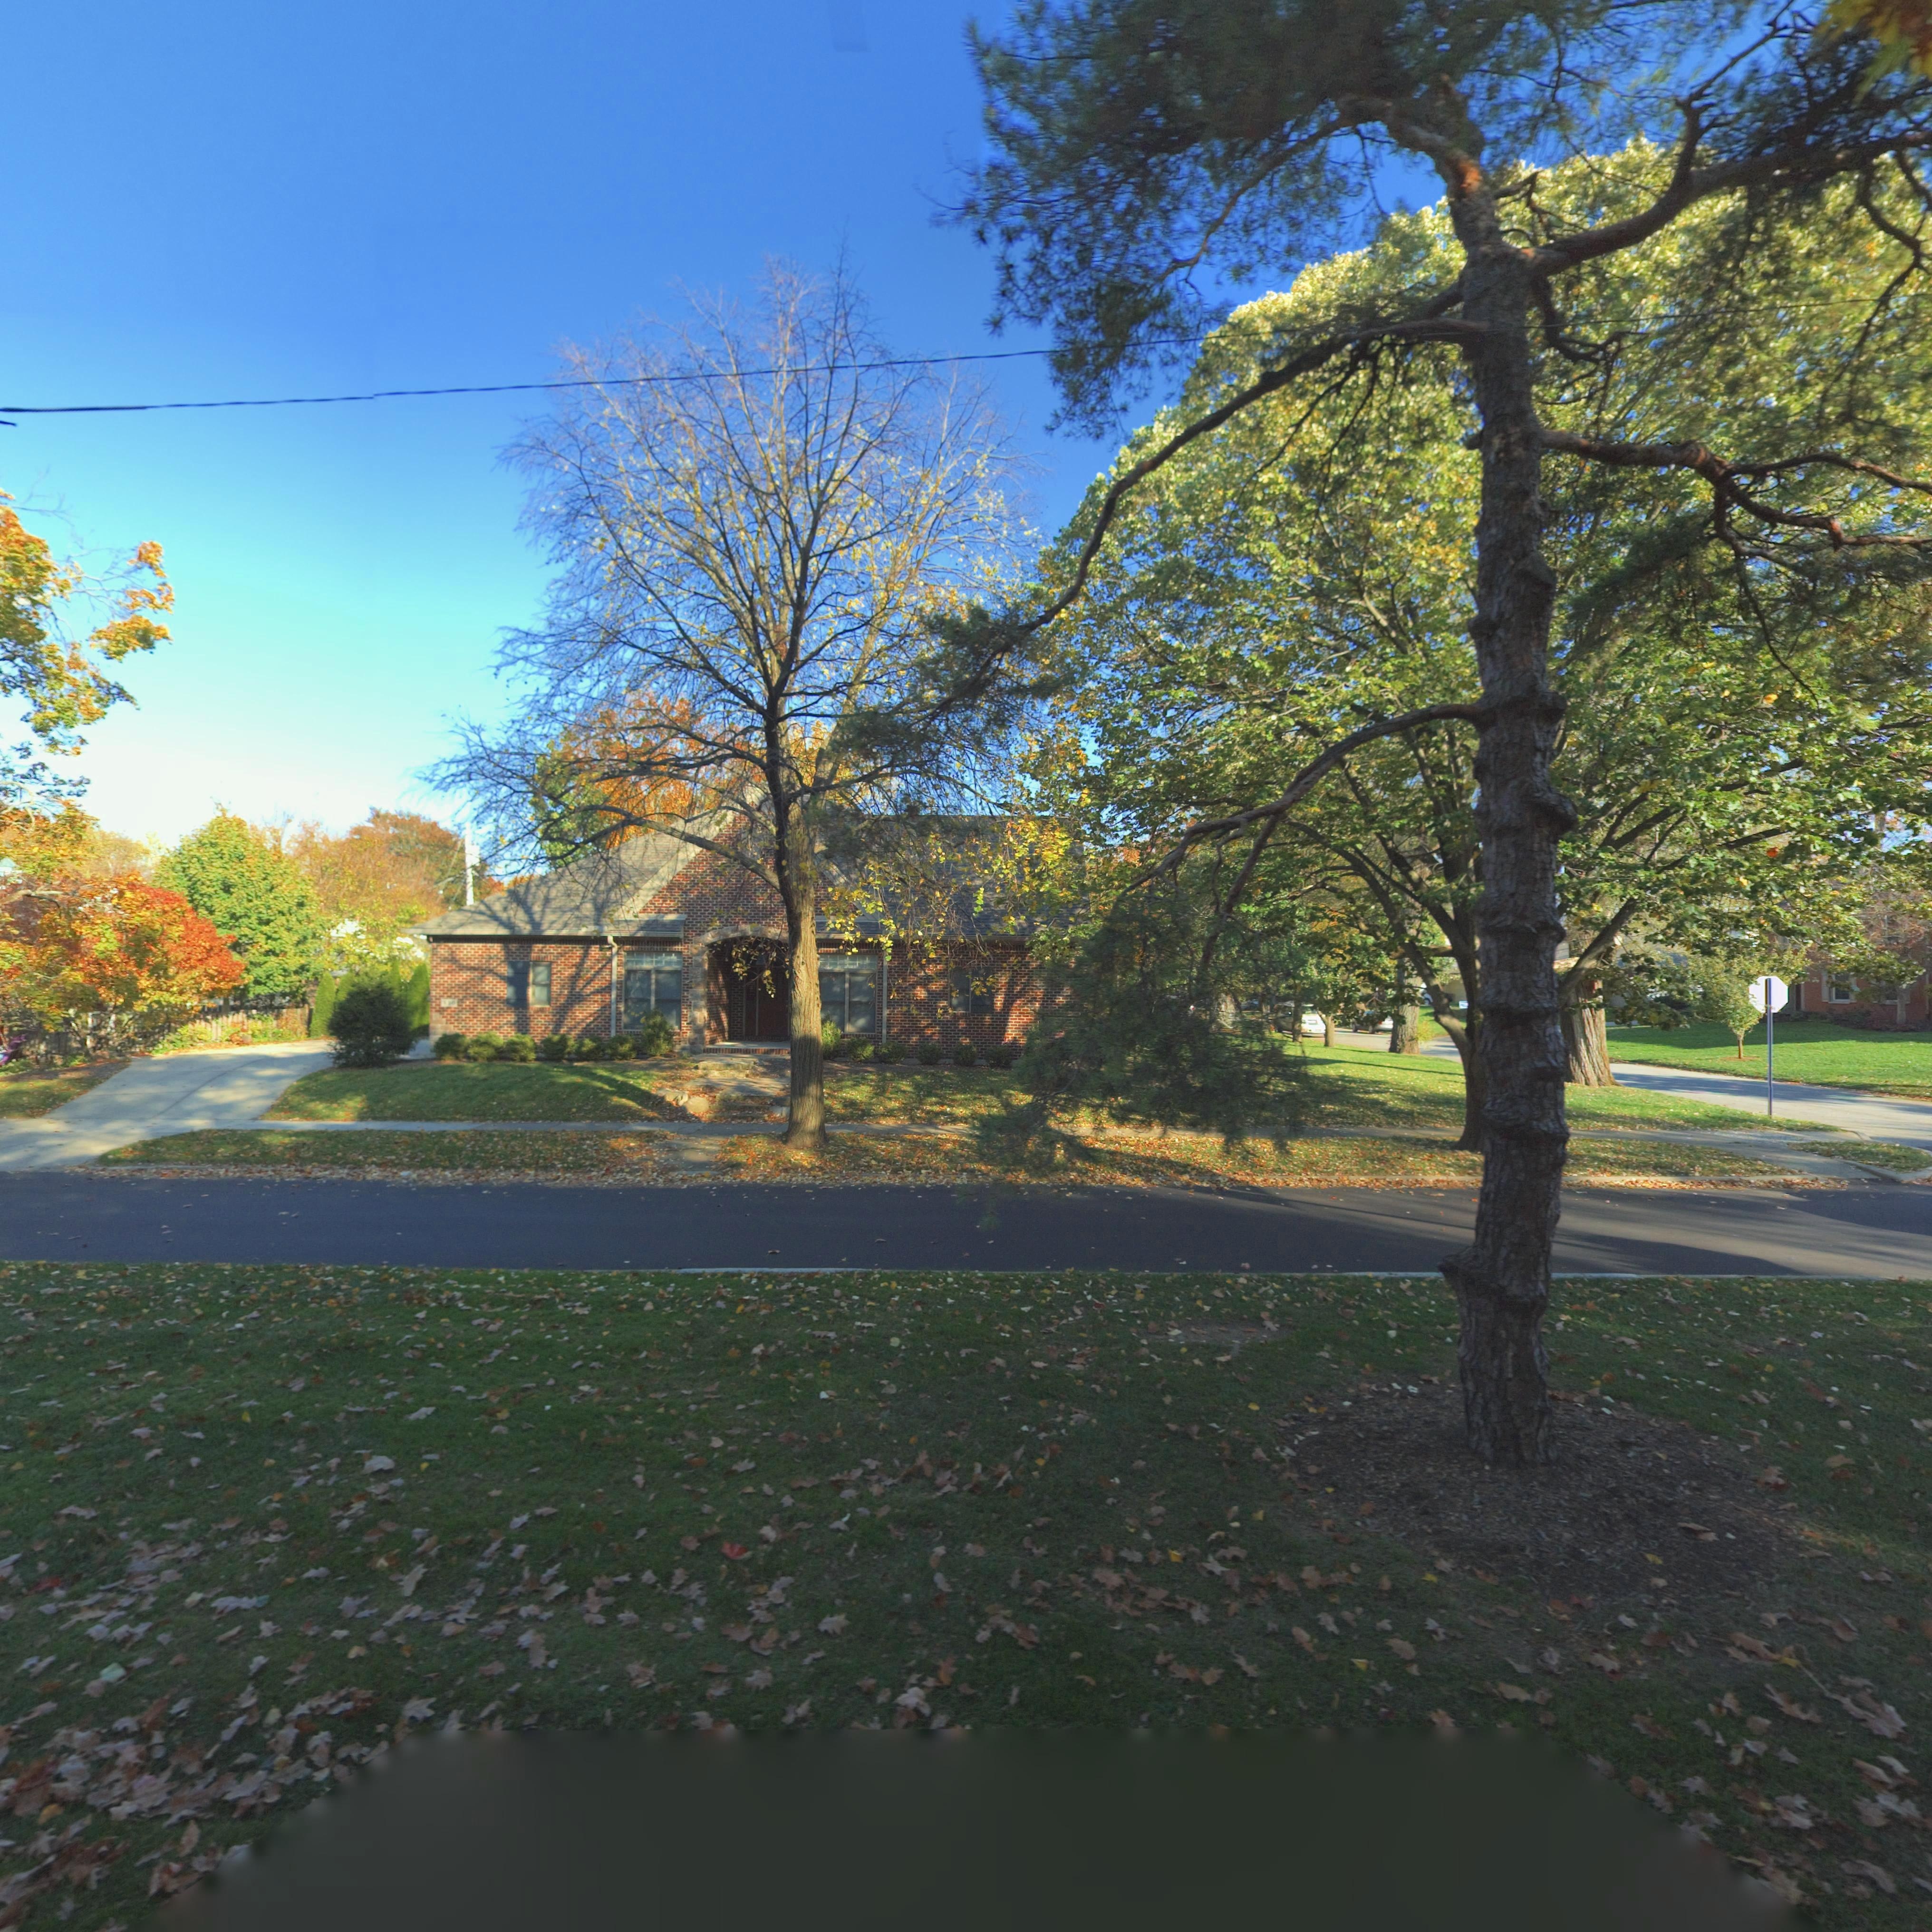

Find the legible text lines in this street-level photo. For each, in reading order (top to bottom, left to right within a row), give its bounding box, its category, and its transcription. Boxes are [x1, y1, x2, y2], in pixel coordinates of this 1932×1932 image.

[441, 999, 455, 1005] StreetNumber: 820